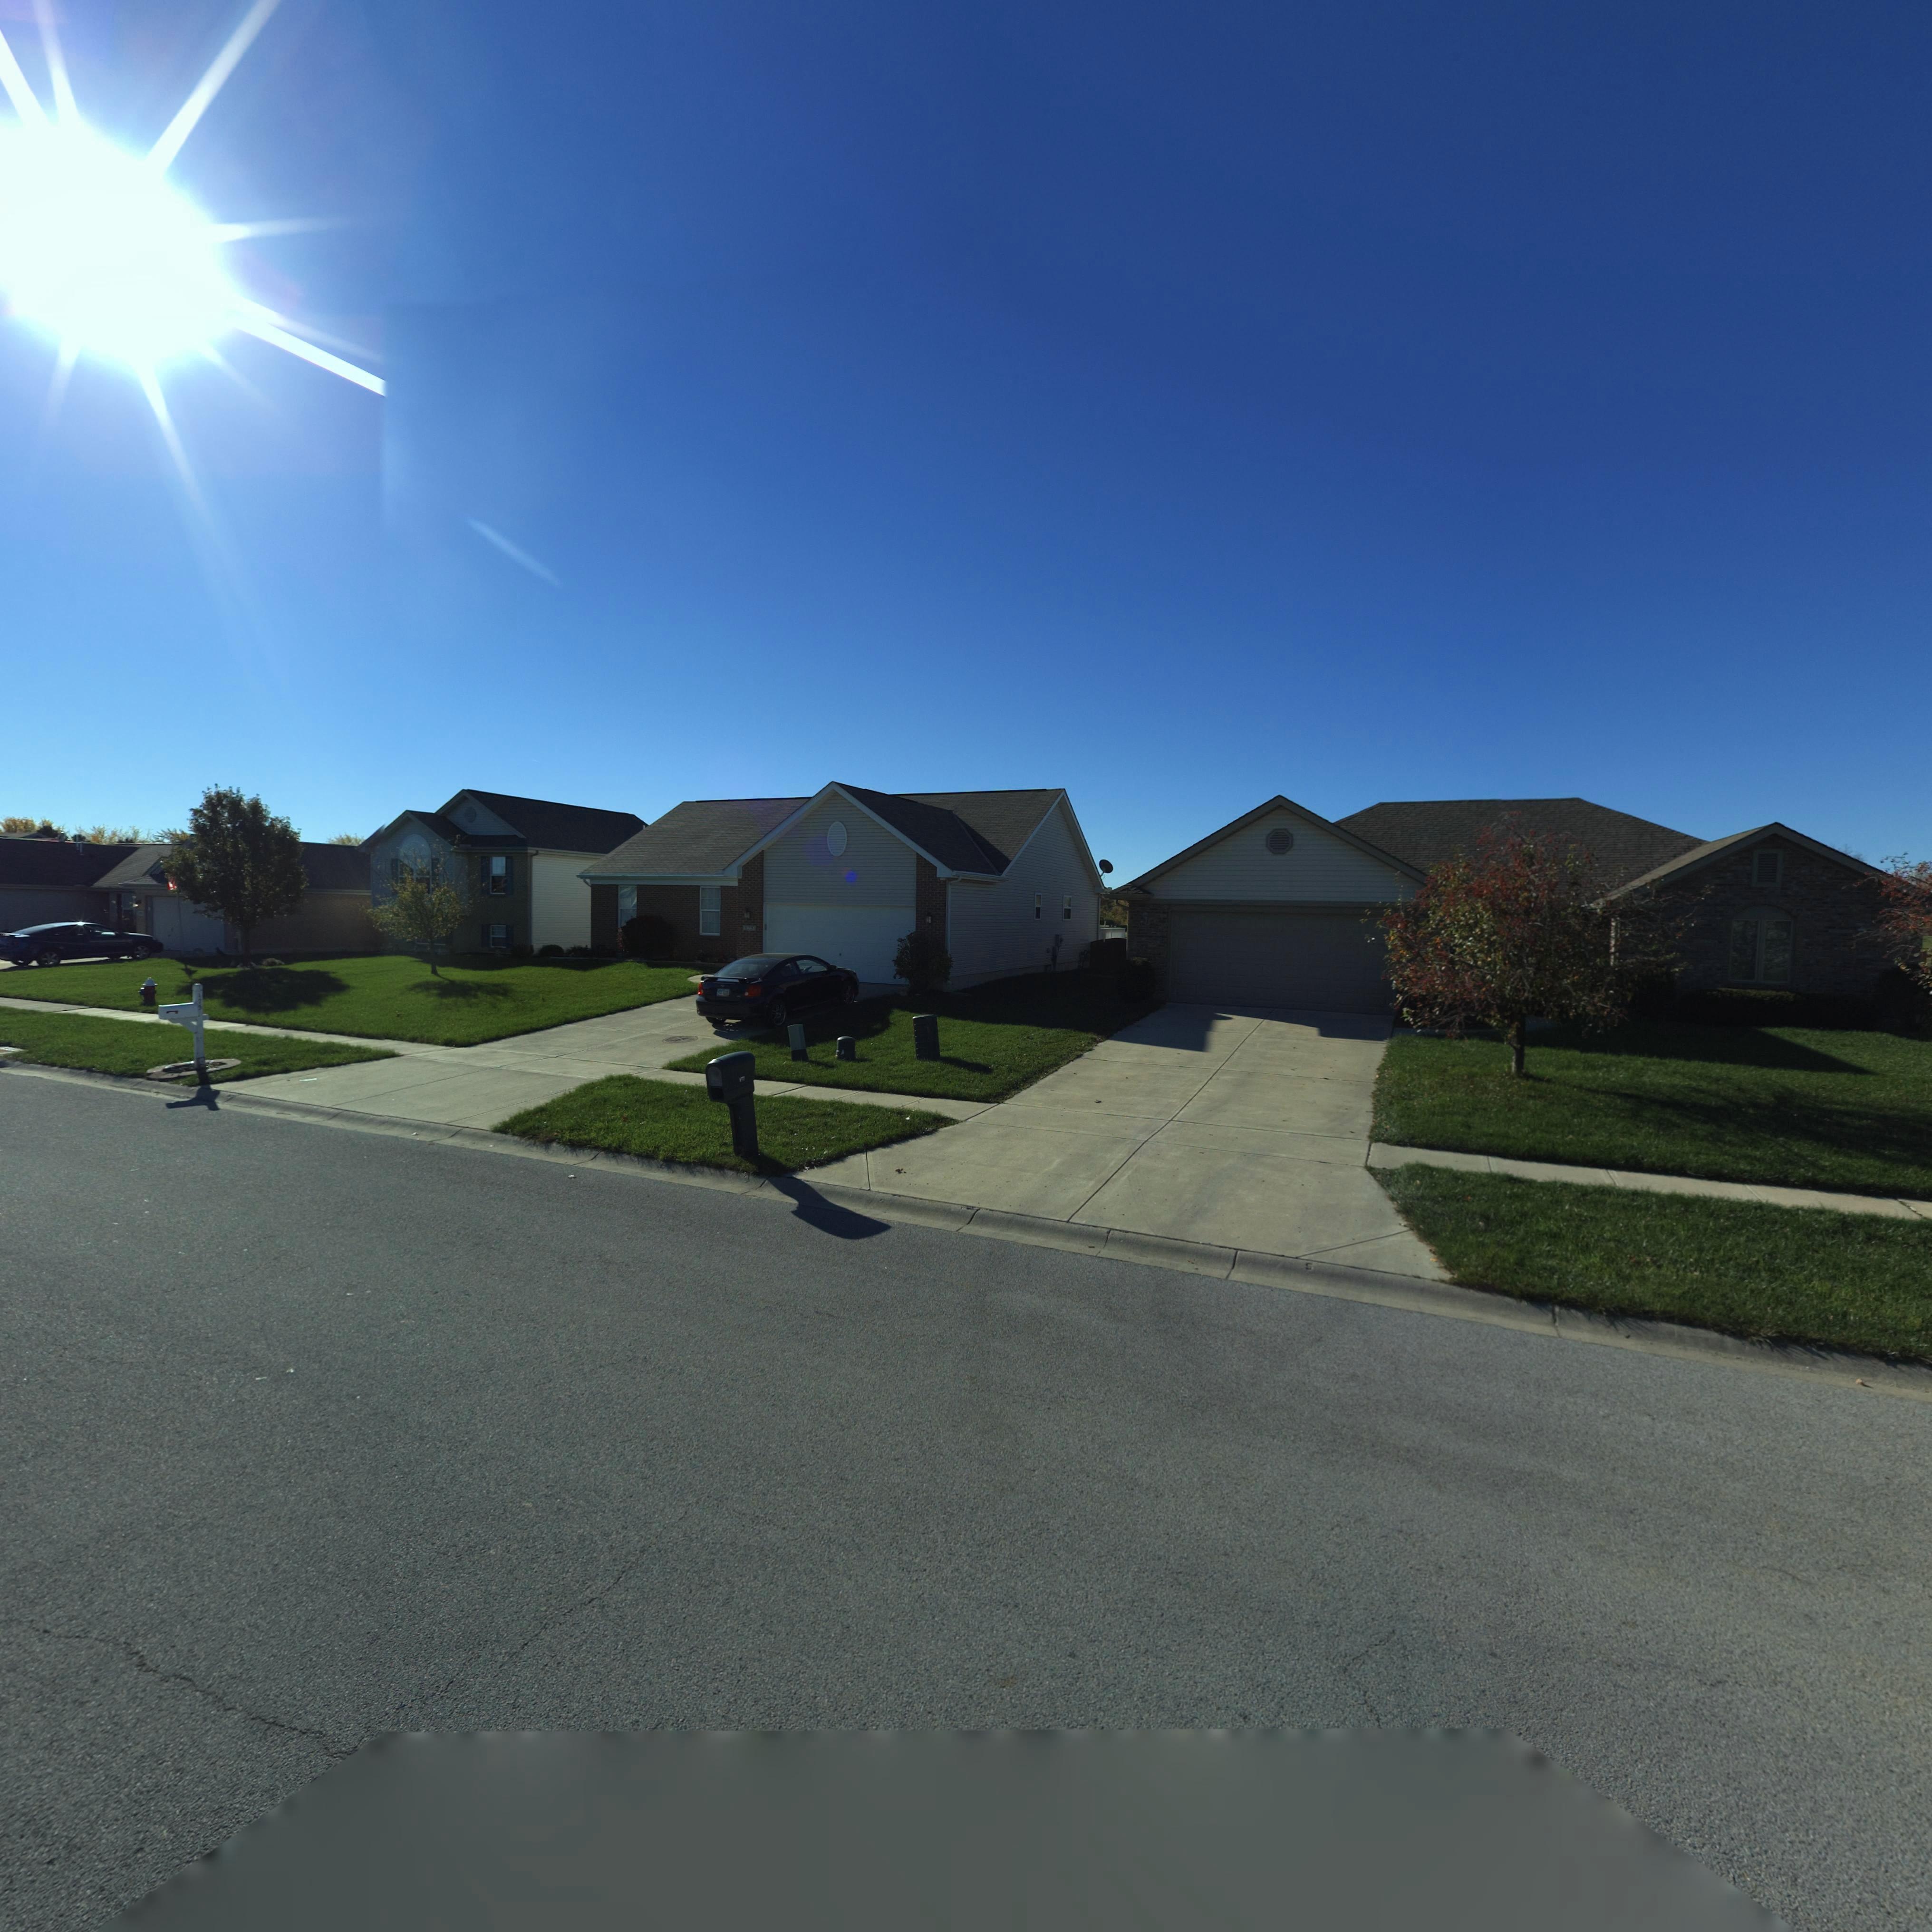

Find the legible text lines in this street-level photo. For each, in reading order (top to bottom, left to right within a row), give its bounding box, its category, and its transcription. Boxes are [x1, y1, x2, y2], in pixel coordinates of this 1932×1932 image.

[744, 925, 753, 930] StreetNumber: 175
[197, 991, 202, 1011] StreetNumber: 175
[739, 1075, 745, 1083] StreetNumber: 177